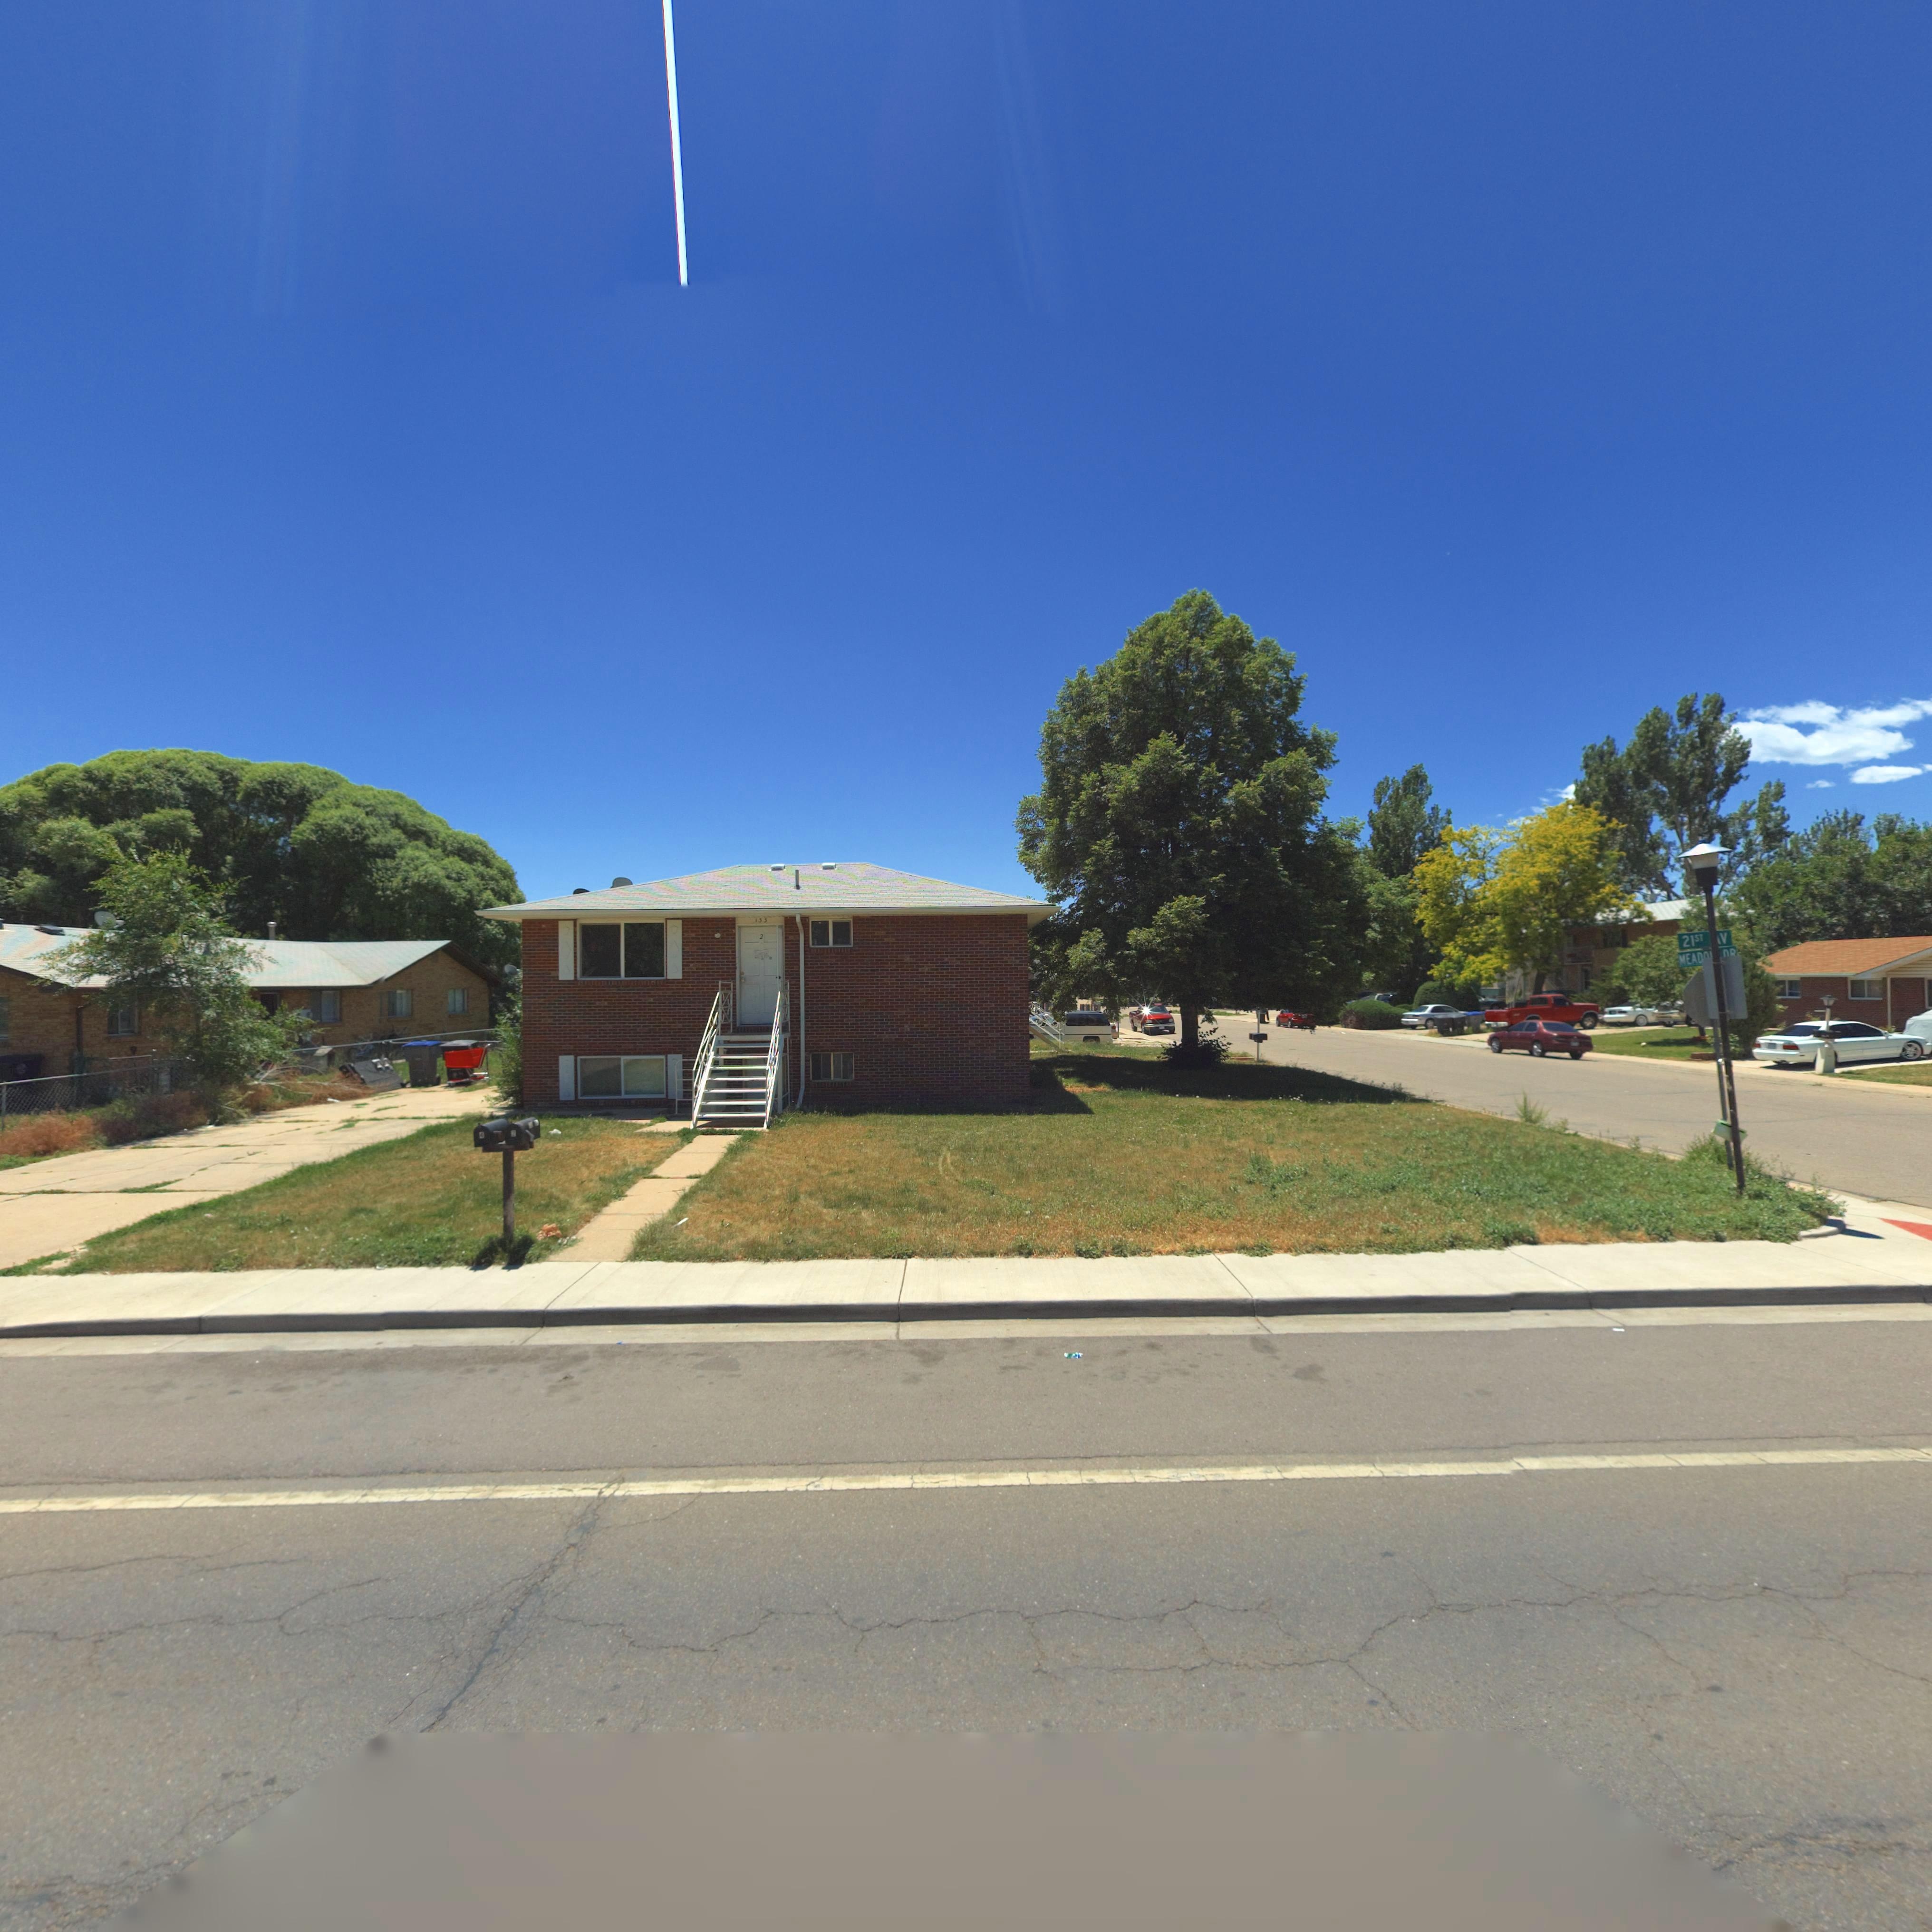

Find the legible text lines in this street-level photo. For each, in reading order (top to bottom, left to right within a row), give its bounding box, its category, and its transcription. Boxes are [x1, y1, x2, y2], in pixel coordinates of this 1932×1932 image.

[755, 918, 767, 922] StreetNumber: 133
[759, 934, 763, 939] StreetNumber: 2
[1681, 931, 1728, 948] StreetName: 21ST AV
[1678, 947, 1736, 966] StreetName: MEAD** **
[479, 1132, 484, 1138] StreetNumber: 4
[511, 1130, 516, 1137] StreetNumber: 2